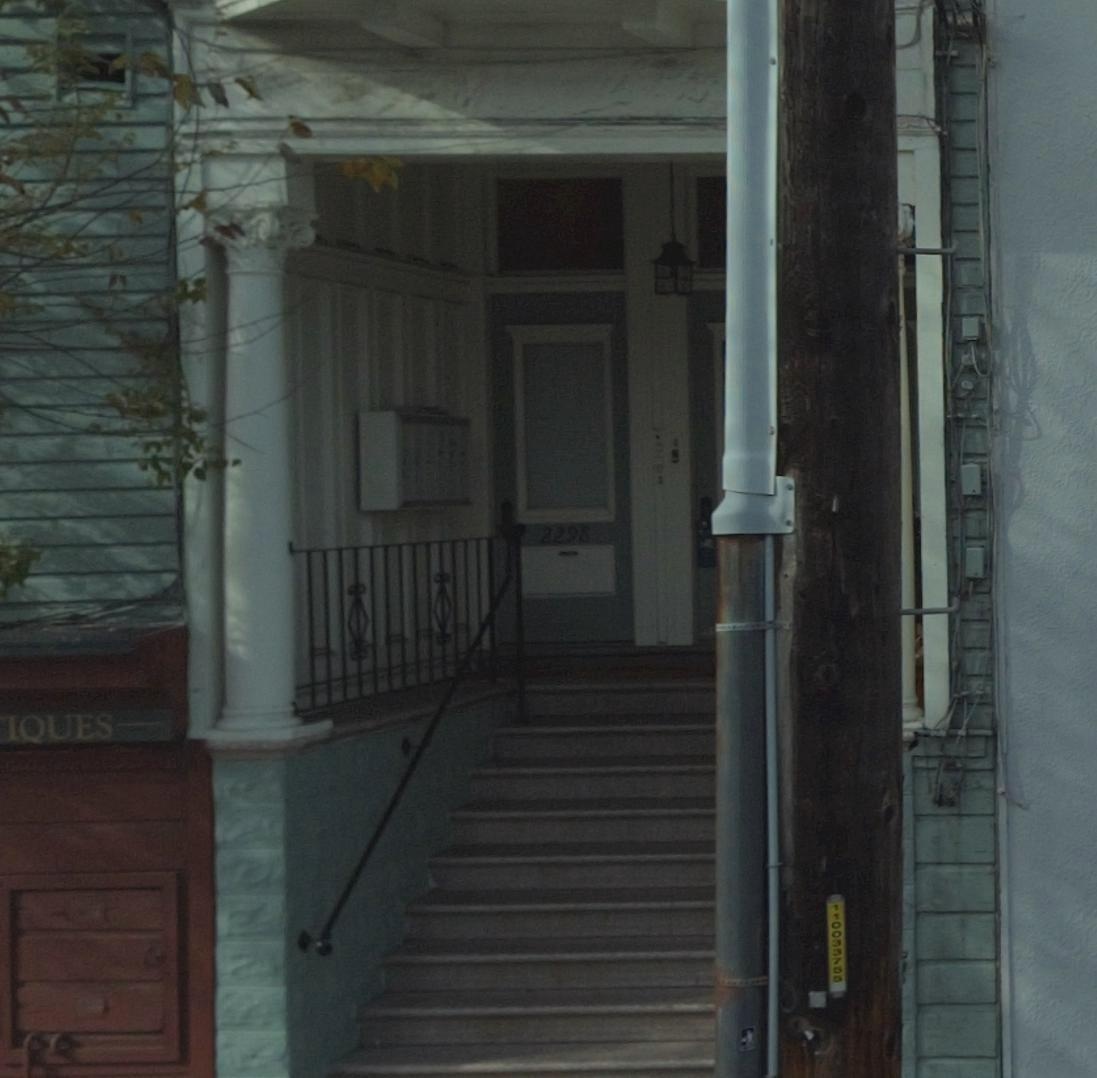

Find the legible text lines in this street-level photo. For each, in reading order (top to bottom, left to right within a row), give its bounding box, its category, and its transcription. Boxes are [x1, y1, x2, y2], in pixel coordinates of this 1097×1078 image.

[536, 522, 594, 547] StreetNumber: 2298
[2, 710, 116, 748] BusinessName: IQUES
[829, 901, 845, 985] None: 110033755